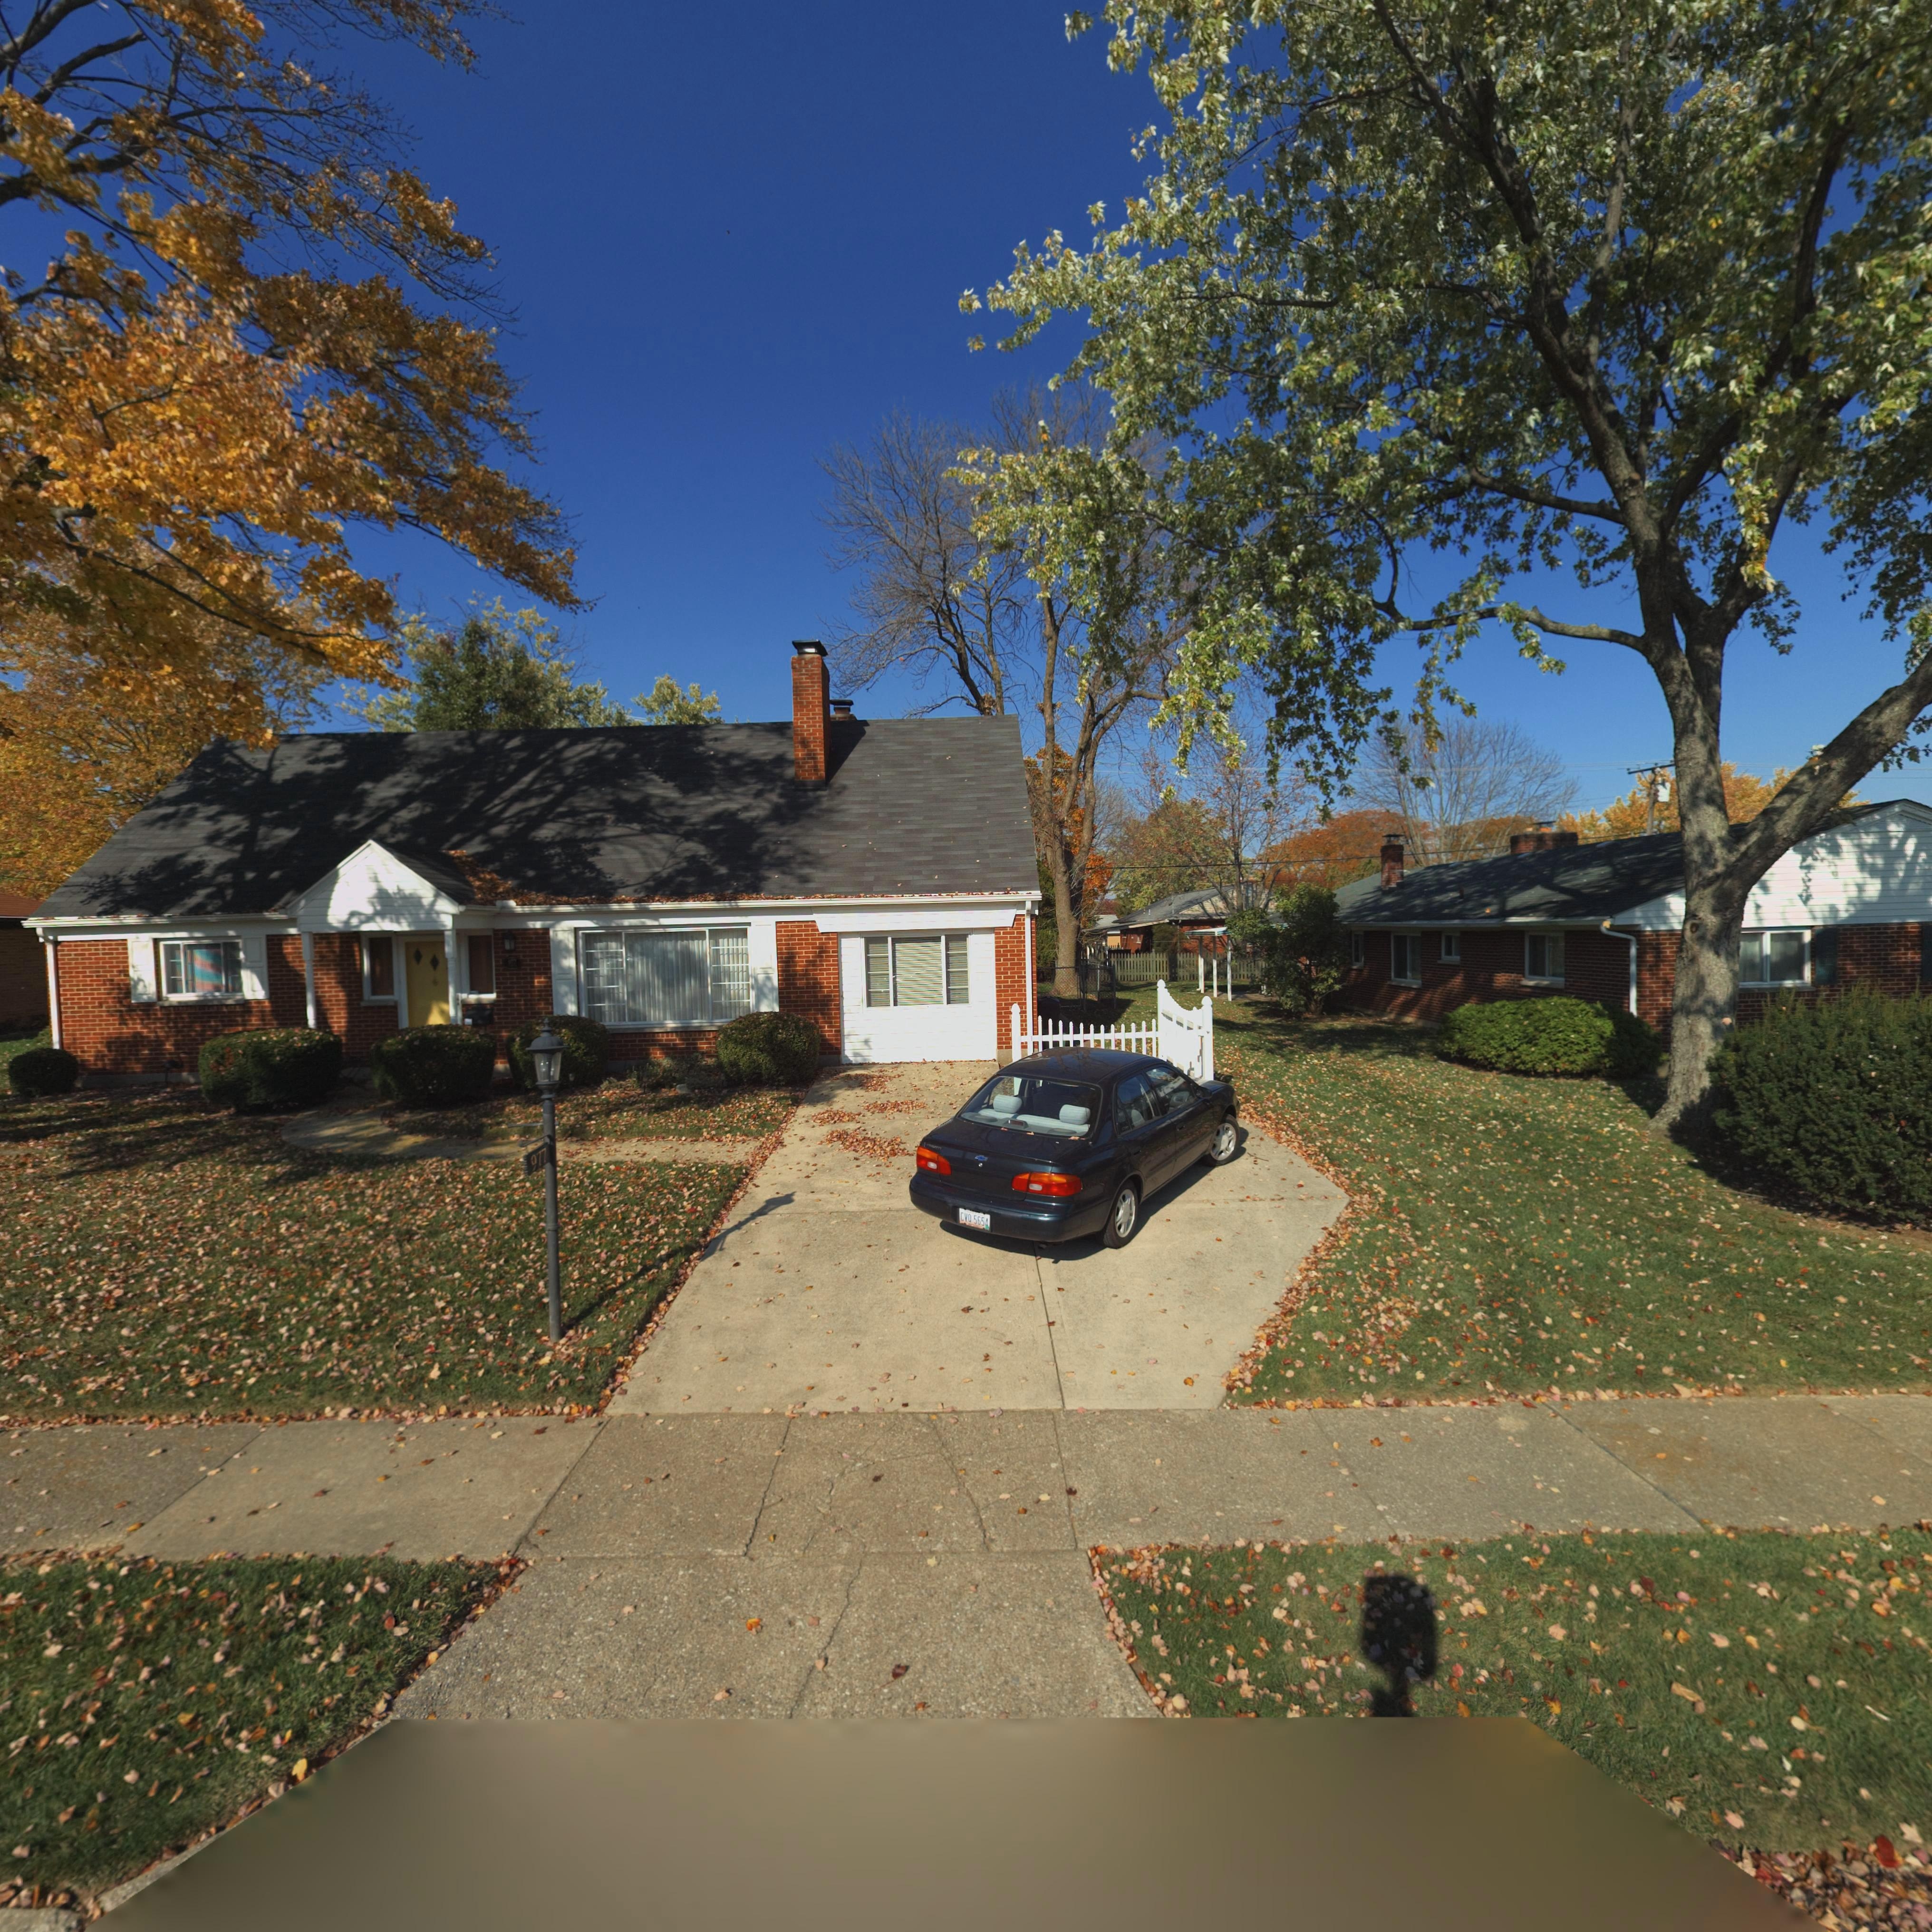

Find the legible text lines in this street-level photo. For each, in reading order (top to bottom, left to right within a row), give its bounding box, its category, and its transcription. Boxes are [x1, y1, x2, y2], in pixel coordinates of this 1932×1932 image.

[529, 1145, 547, 1173] StreetNumber: 977
[959, 1210, 989, 1228] None: CYQ 565*